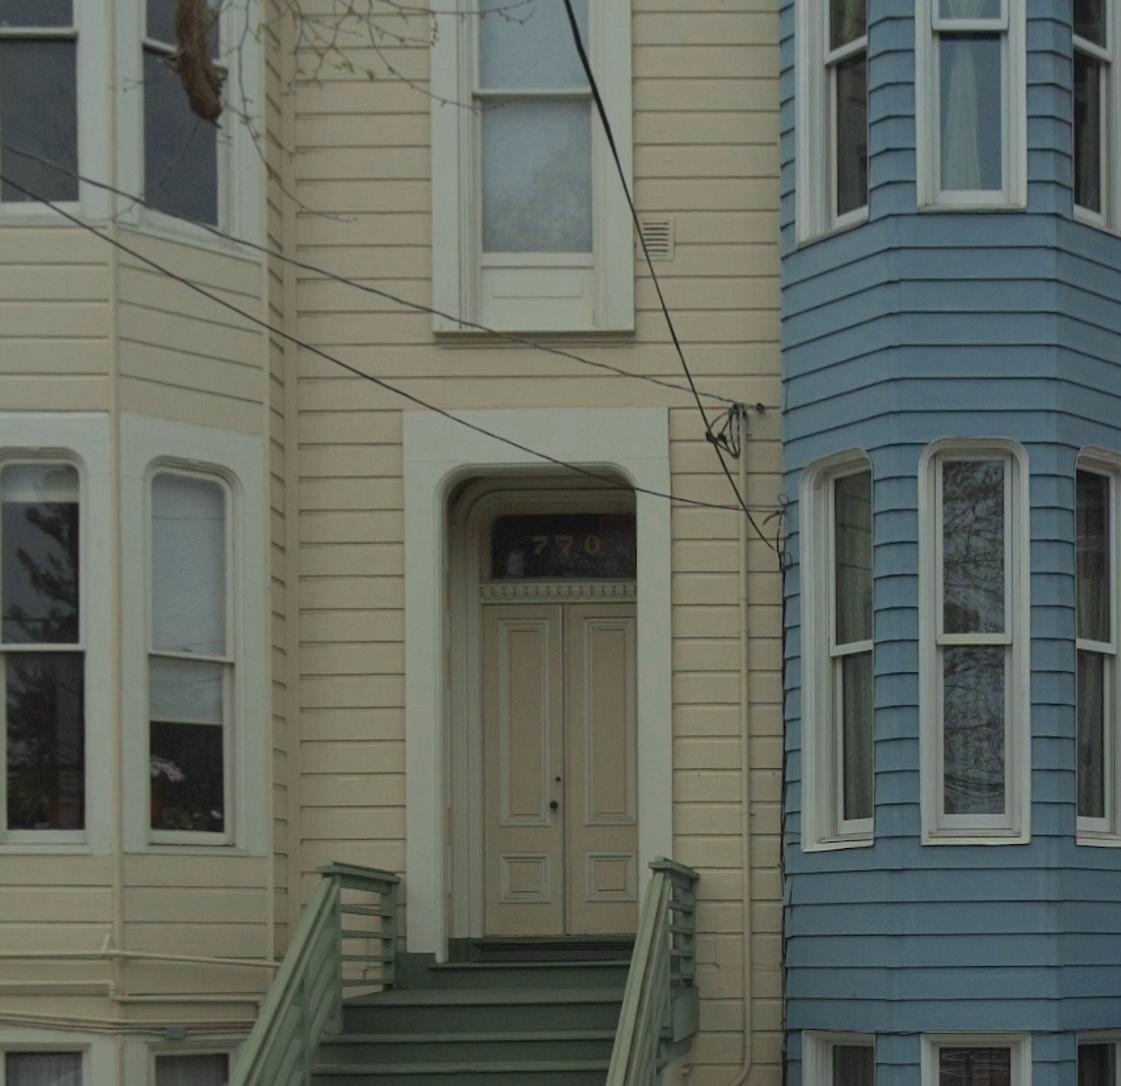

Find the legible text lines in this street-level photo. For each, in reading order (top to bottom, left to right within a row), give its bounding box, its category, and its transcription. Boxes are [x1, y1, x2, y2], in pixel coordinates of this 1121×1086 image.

[530, 533, 602, 557] StreetNumber: 770